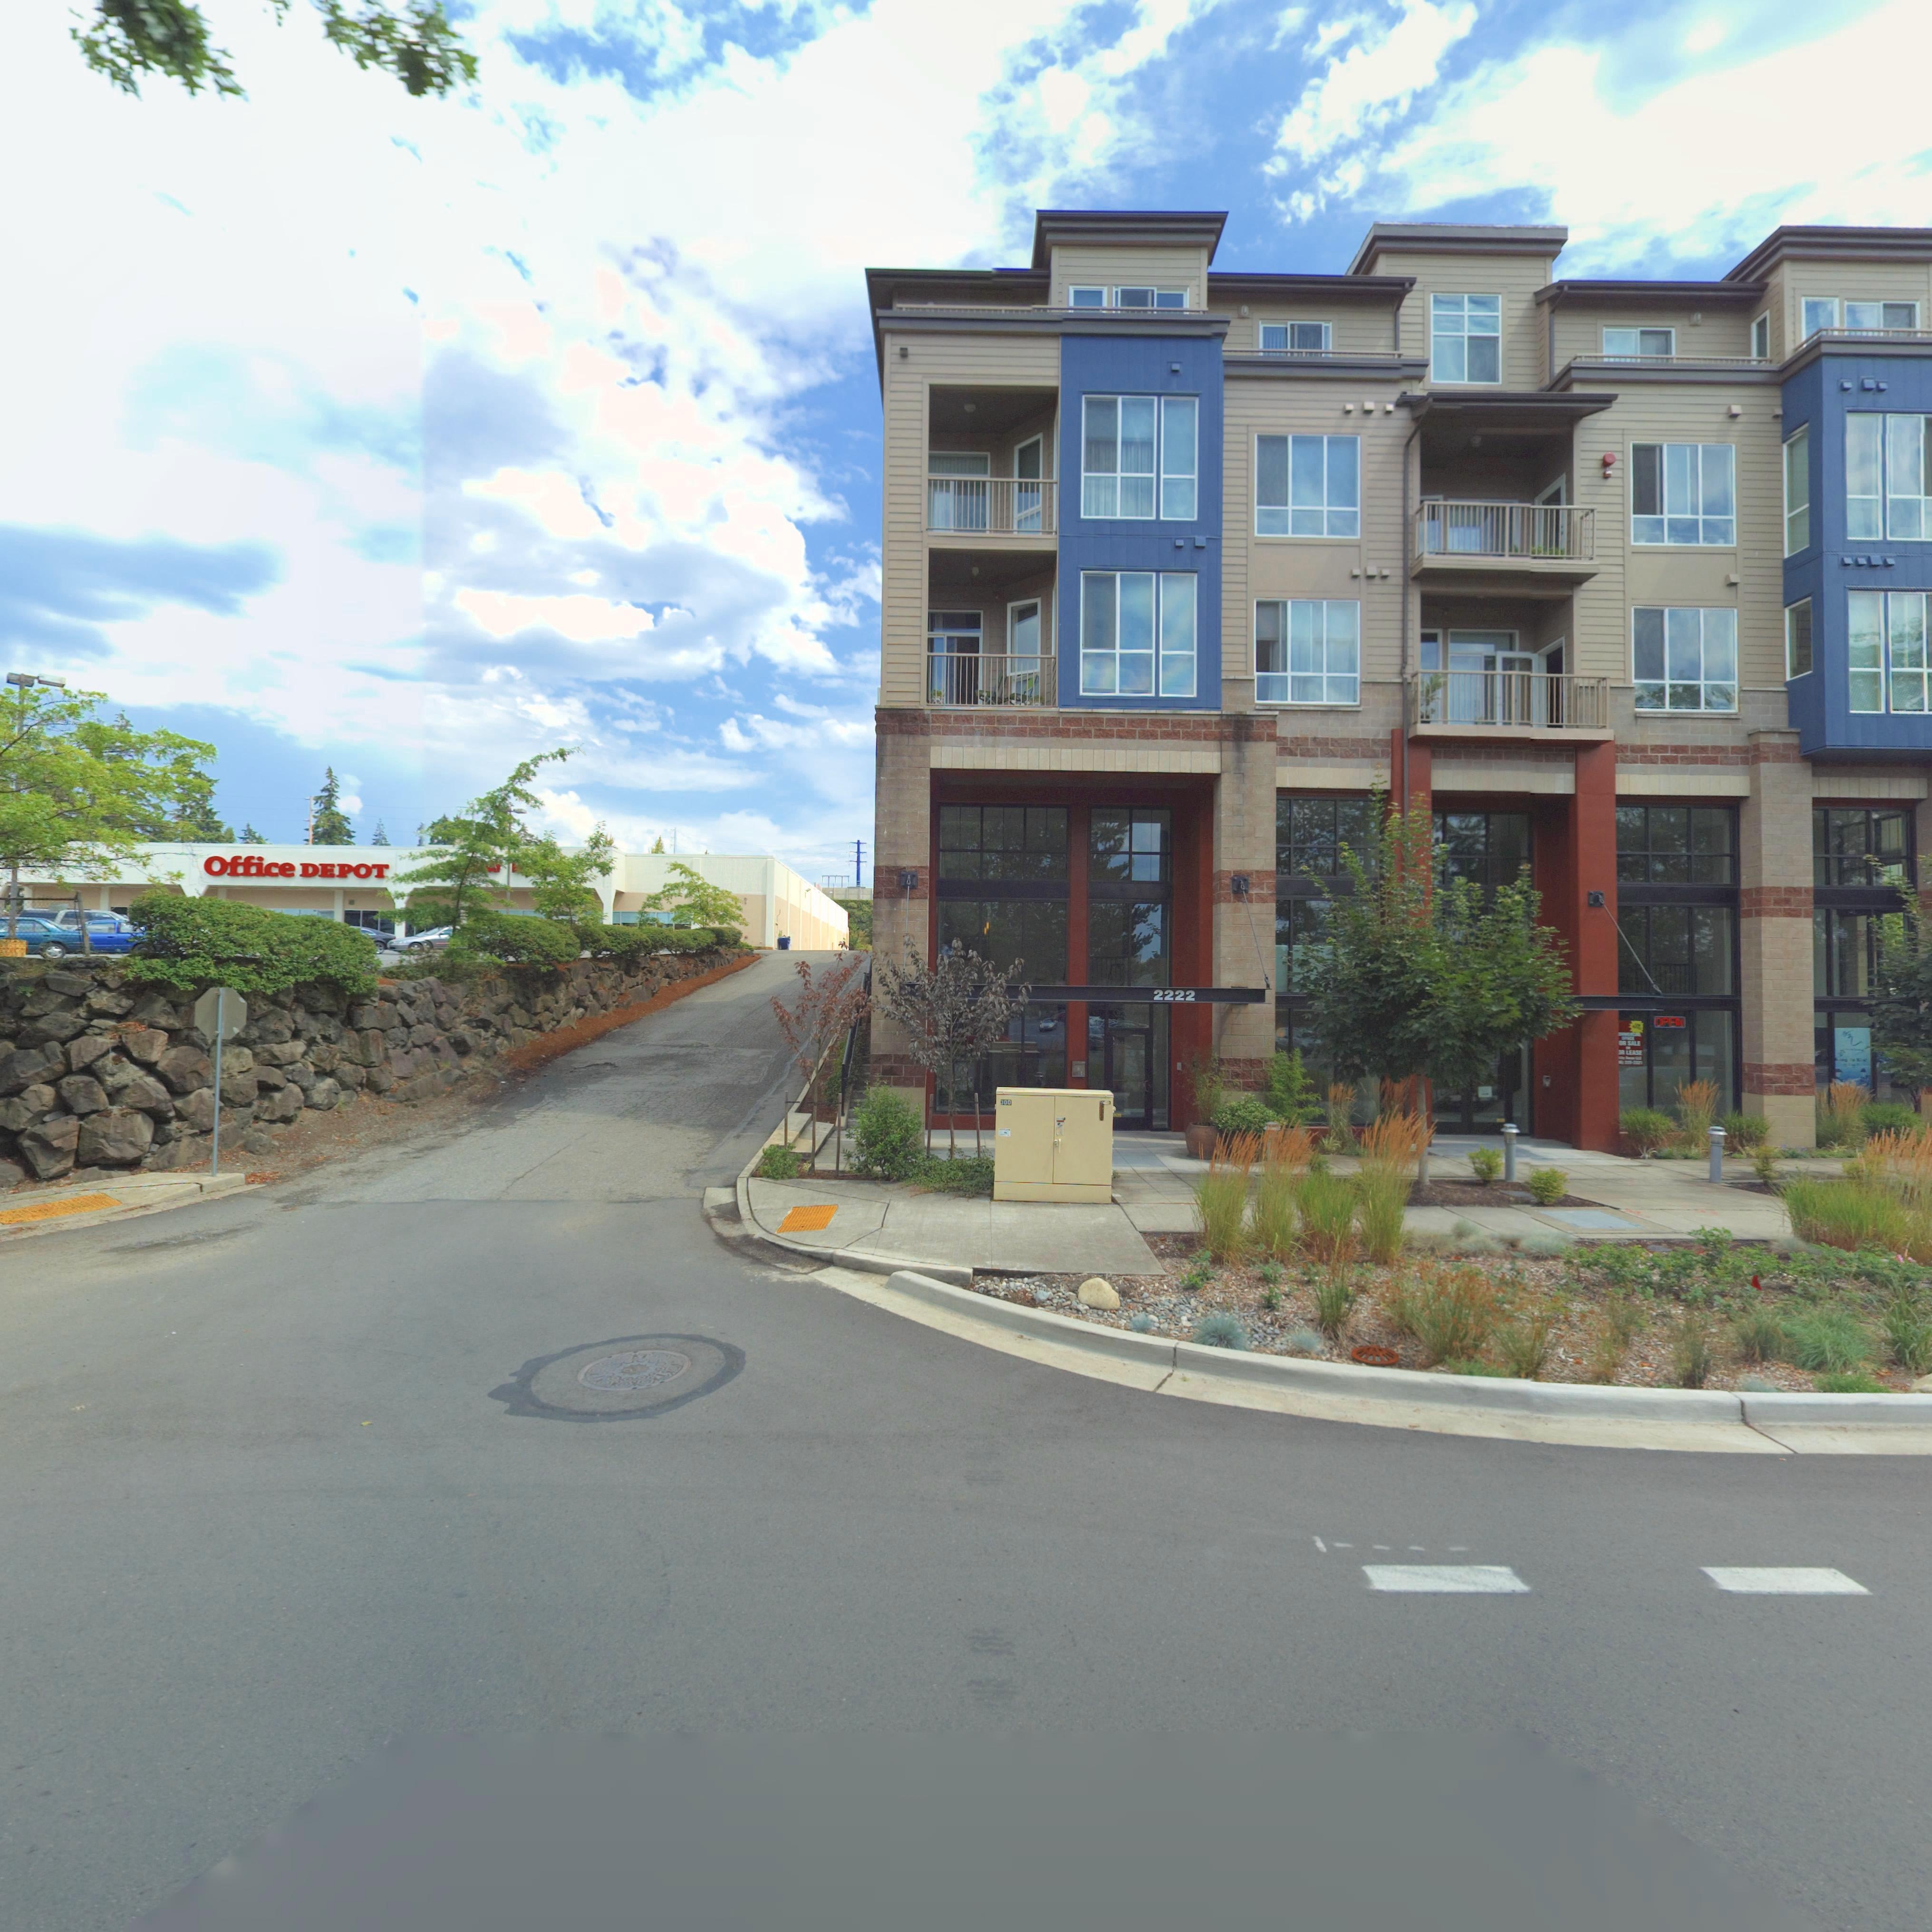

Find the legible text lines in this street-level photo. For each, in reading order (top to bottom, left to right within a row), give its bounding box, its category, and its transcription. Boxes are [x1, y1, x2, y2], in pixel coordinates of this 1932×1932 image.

[204, 856, 389, 879] BusinessName: Office DEPOT
[1154, 990, 1194, 1001] StreetNumber: 2222